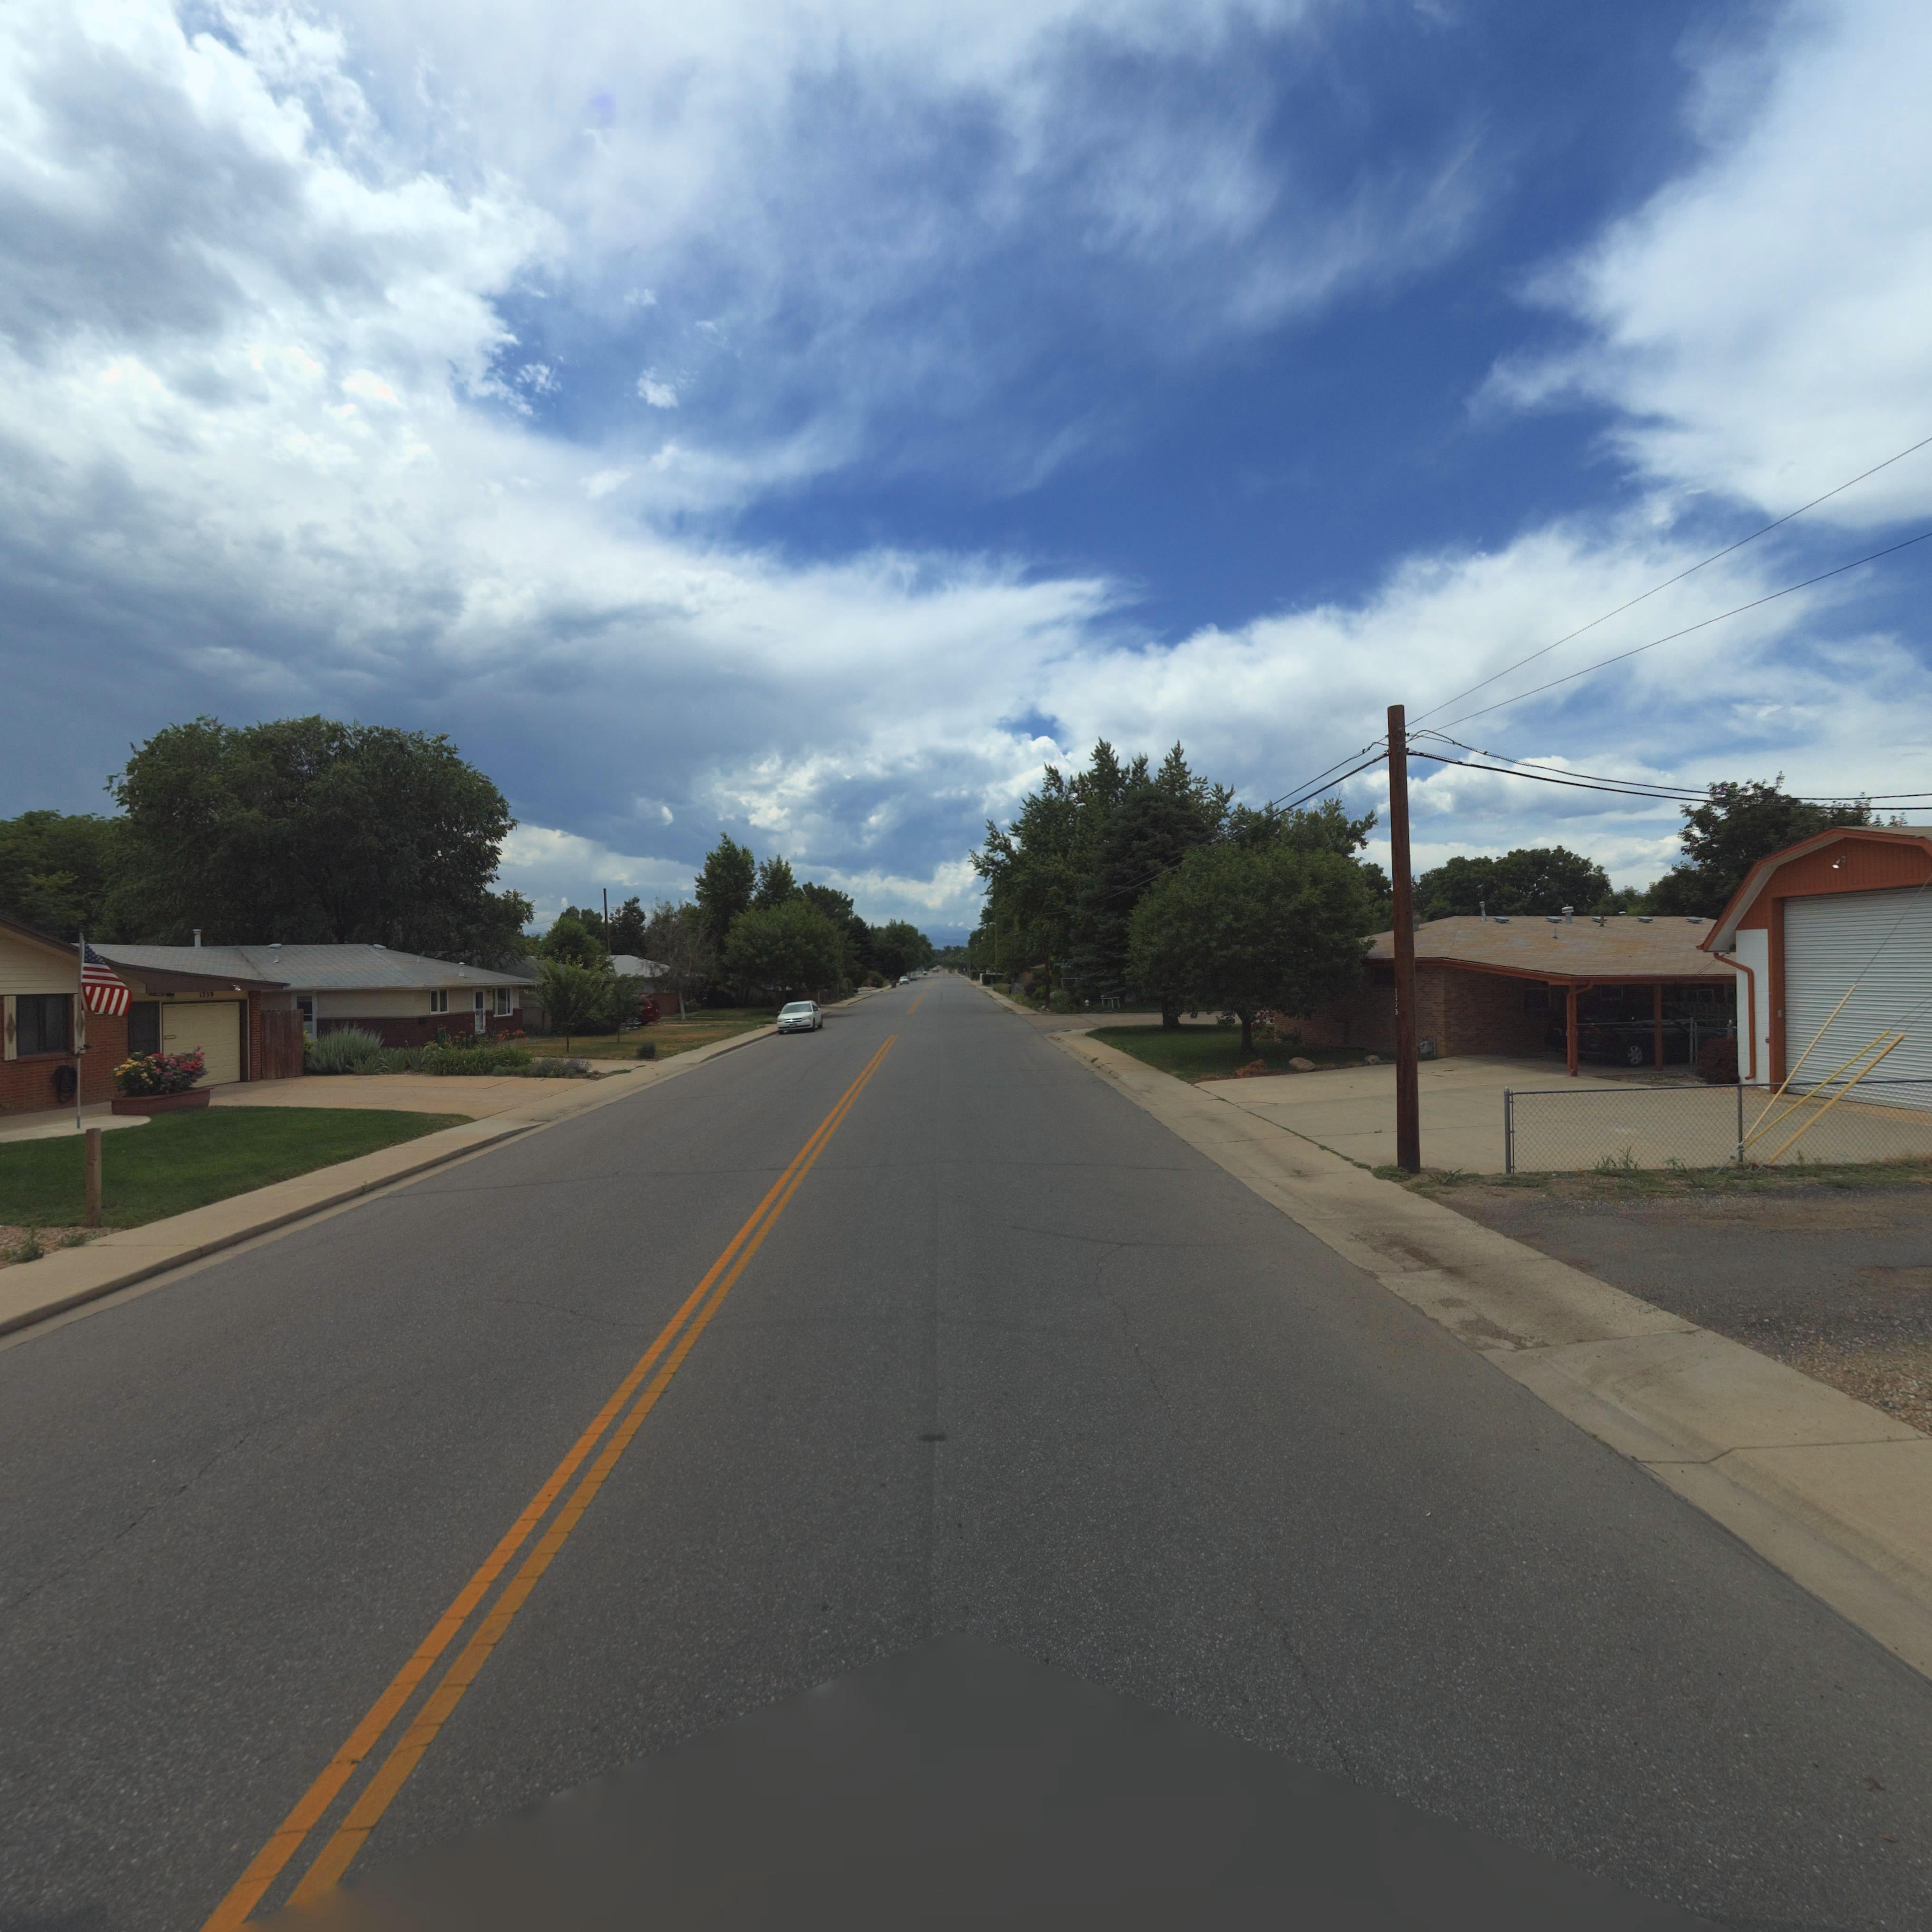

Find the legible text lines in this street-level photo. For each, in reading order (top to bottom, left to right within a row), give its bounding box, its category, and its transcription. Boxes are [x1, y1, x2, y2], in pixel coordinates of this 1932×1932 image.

[198, 991, 214, 998] StreetNumber: 1339